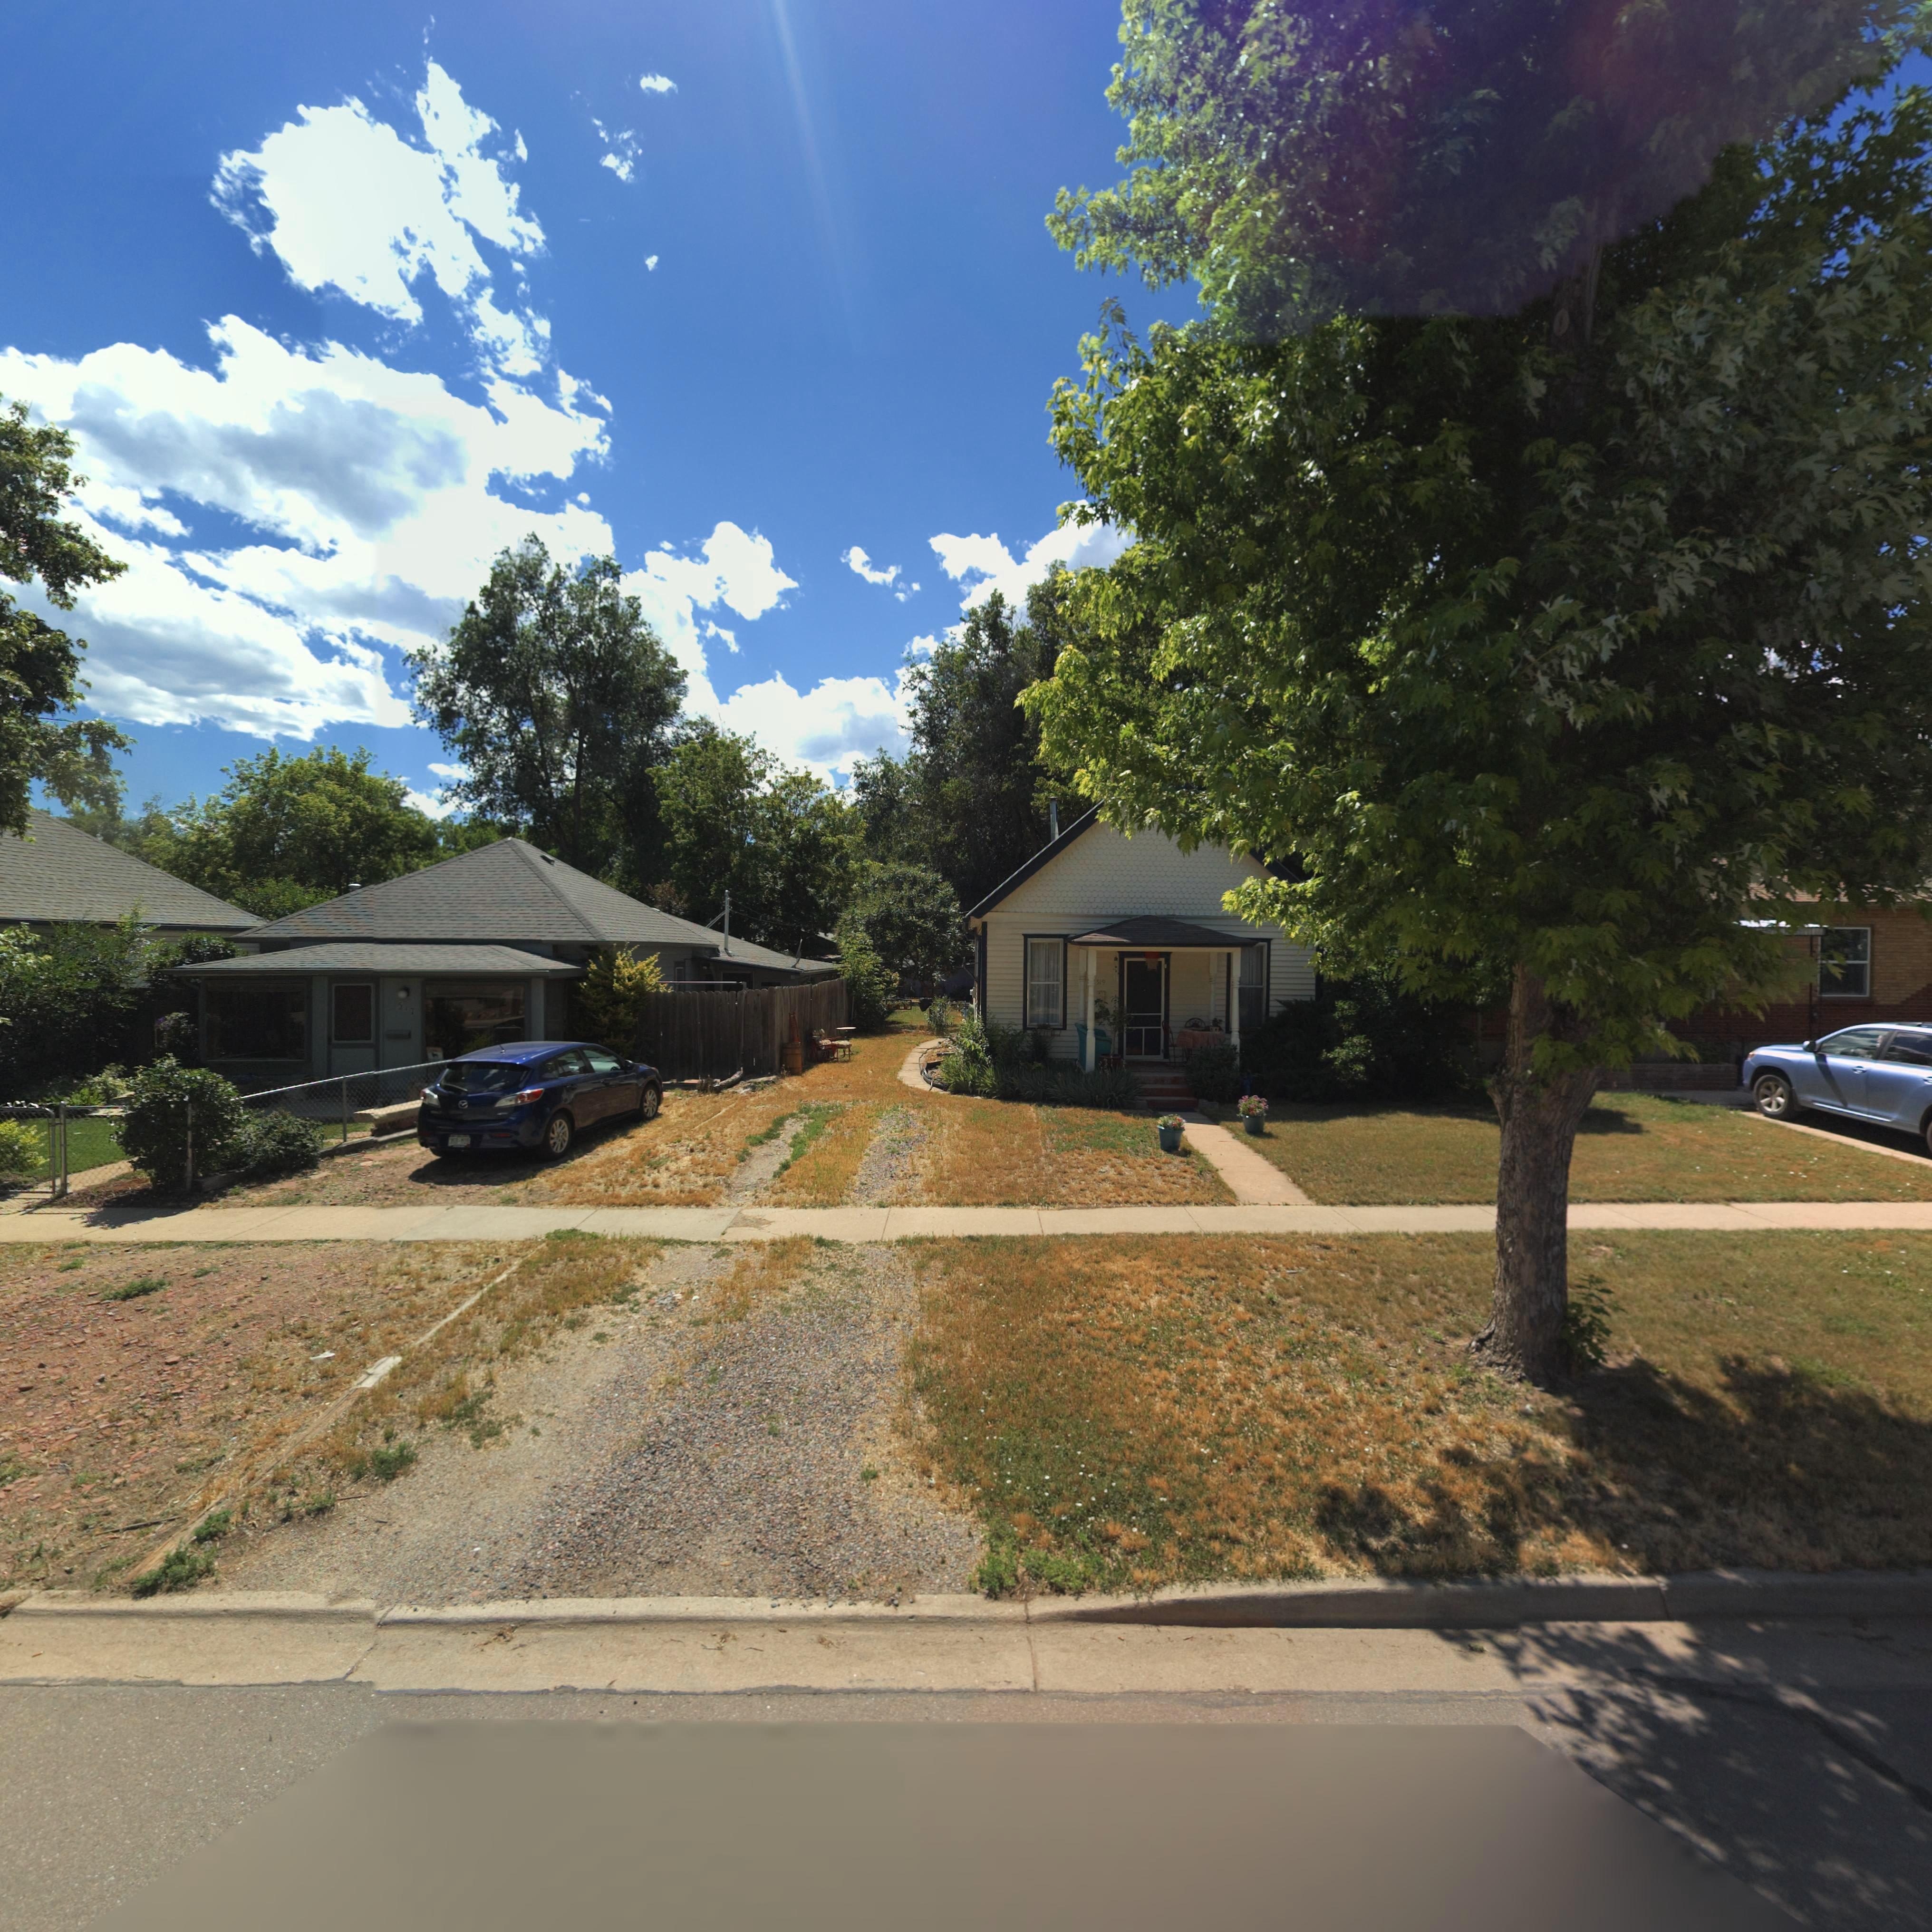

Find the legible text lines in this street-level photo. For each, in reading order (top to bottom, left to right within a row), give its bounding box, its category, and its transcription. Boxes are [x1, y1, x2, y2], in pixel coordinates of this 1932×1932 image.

[1096, 979, 1105, 985] StreetNumber: 519
[397, 1000, 415, 1015] StreetNumber: 517